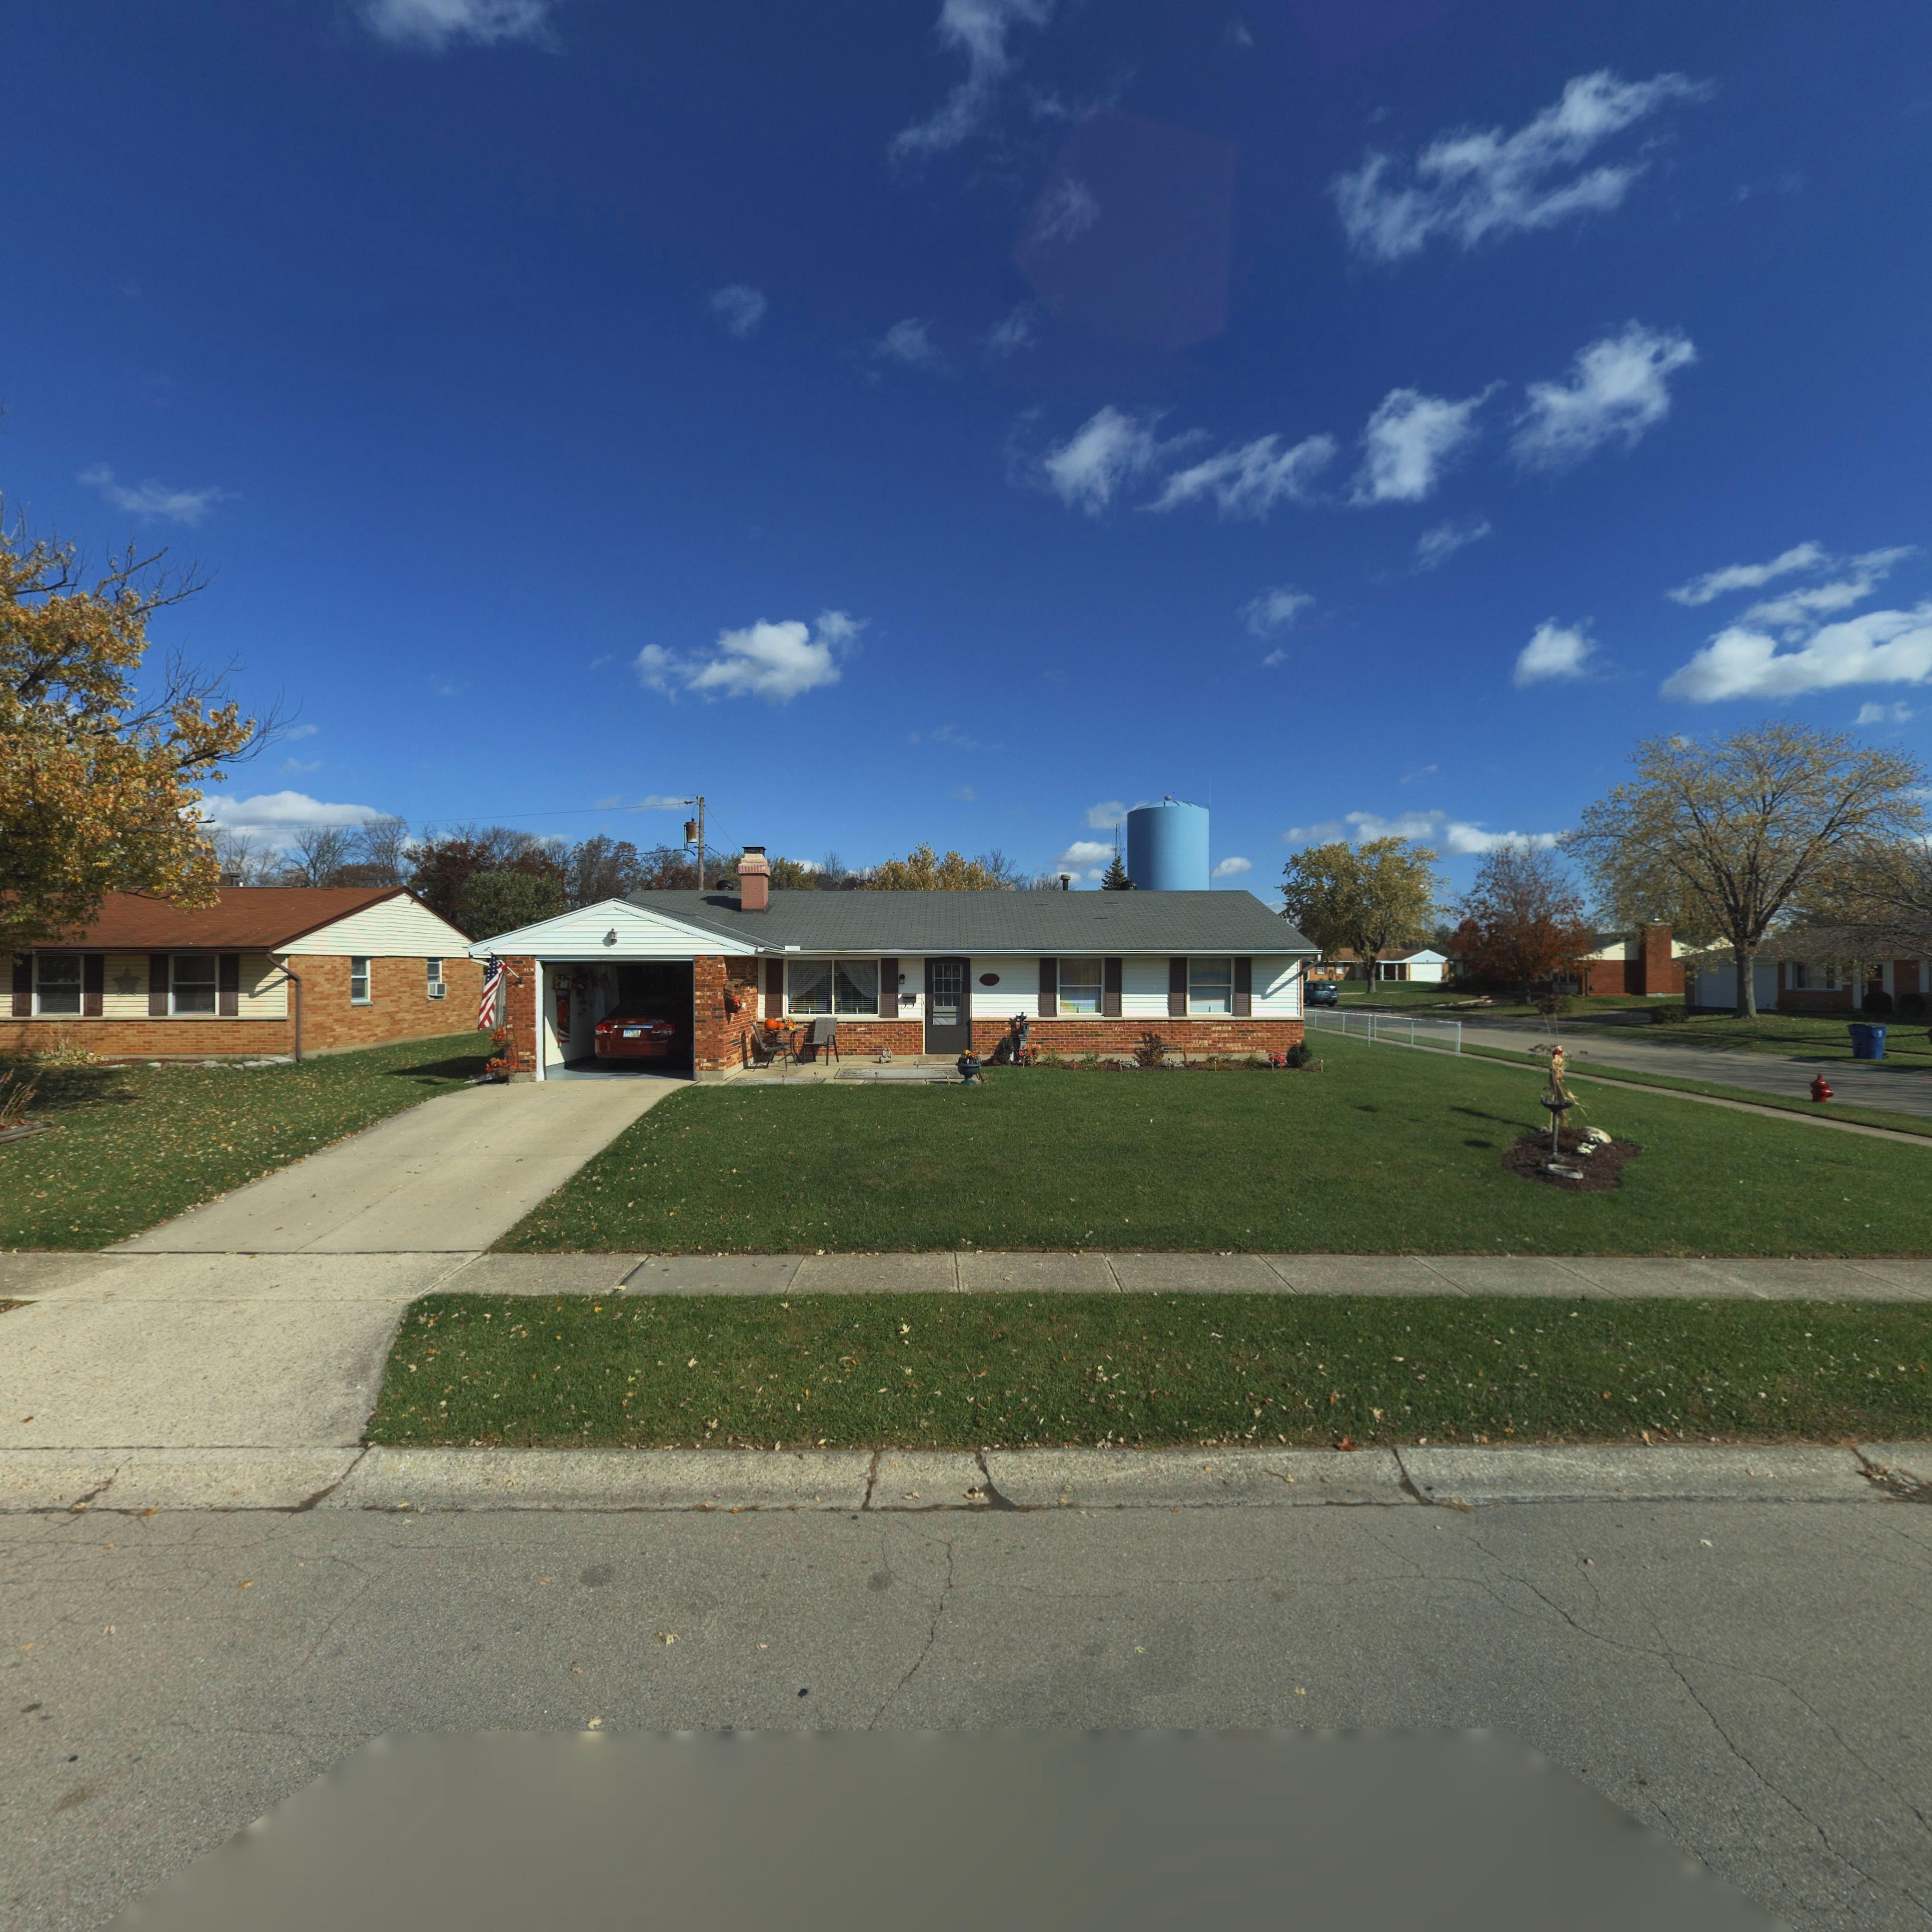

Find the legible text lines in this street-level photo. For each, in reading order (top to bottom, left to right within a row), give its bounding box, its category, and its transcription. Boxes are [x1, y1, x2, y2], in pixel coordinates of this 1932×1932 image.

[982, 975, 998, 984] StreetNumber: 7821